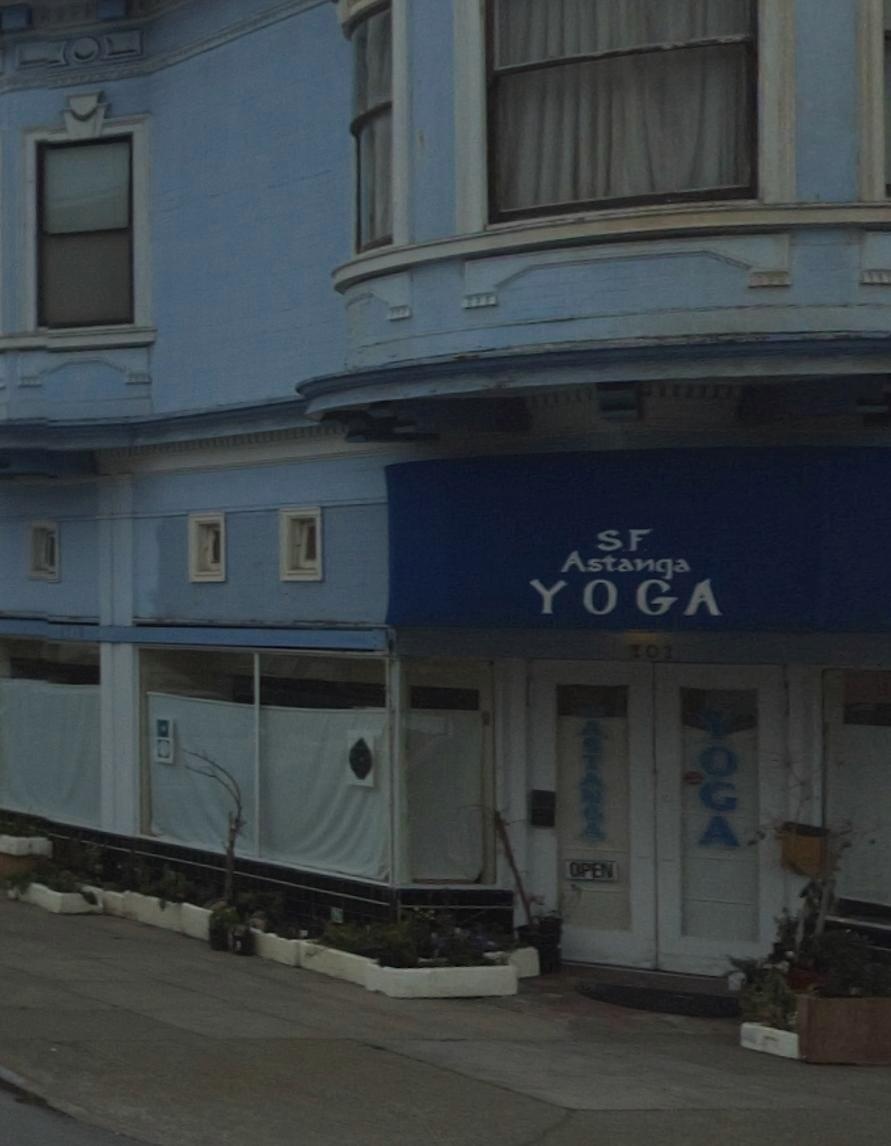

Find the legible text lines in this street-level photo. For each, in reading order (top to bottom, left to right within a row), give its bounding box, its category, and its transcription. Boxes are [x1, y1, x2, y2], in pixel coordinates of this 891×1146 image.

[594, 526, 656, 555] BusinessName: S.F.
[557, 547, 694, 582] BusinessName: Astanga
[526, 576, 728, 619] BusinessName: YOGA
[626, 640, 676, 662] StreetNumber: 701
[572, 714, 610, 847] BusinessName: ASTAN*A
[693, 704, 744, 850] None: *OGA
[567, 859, 616, 881] None: OPEN